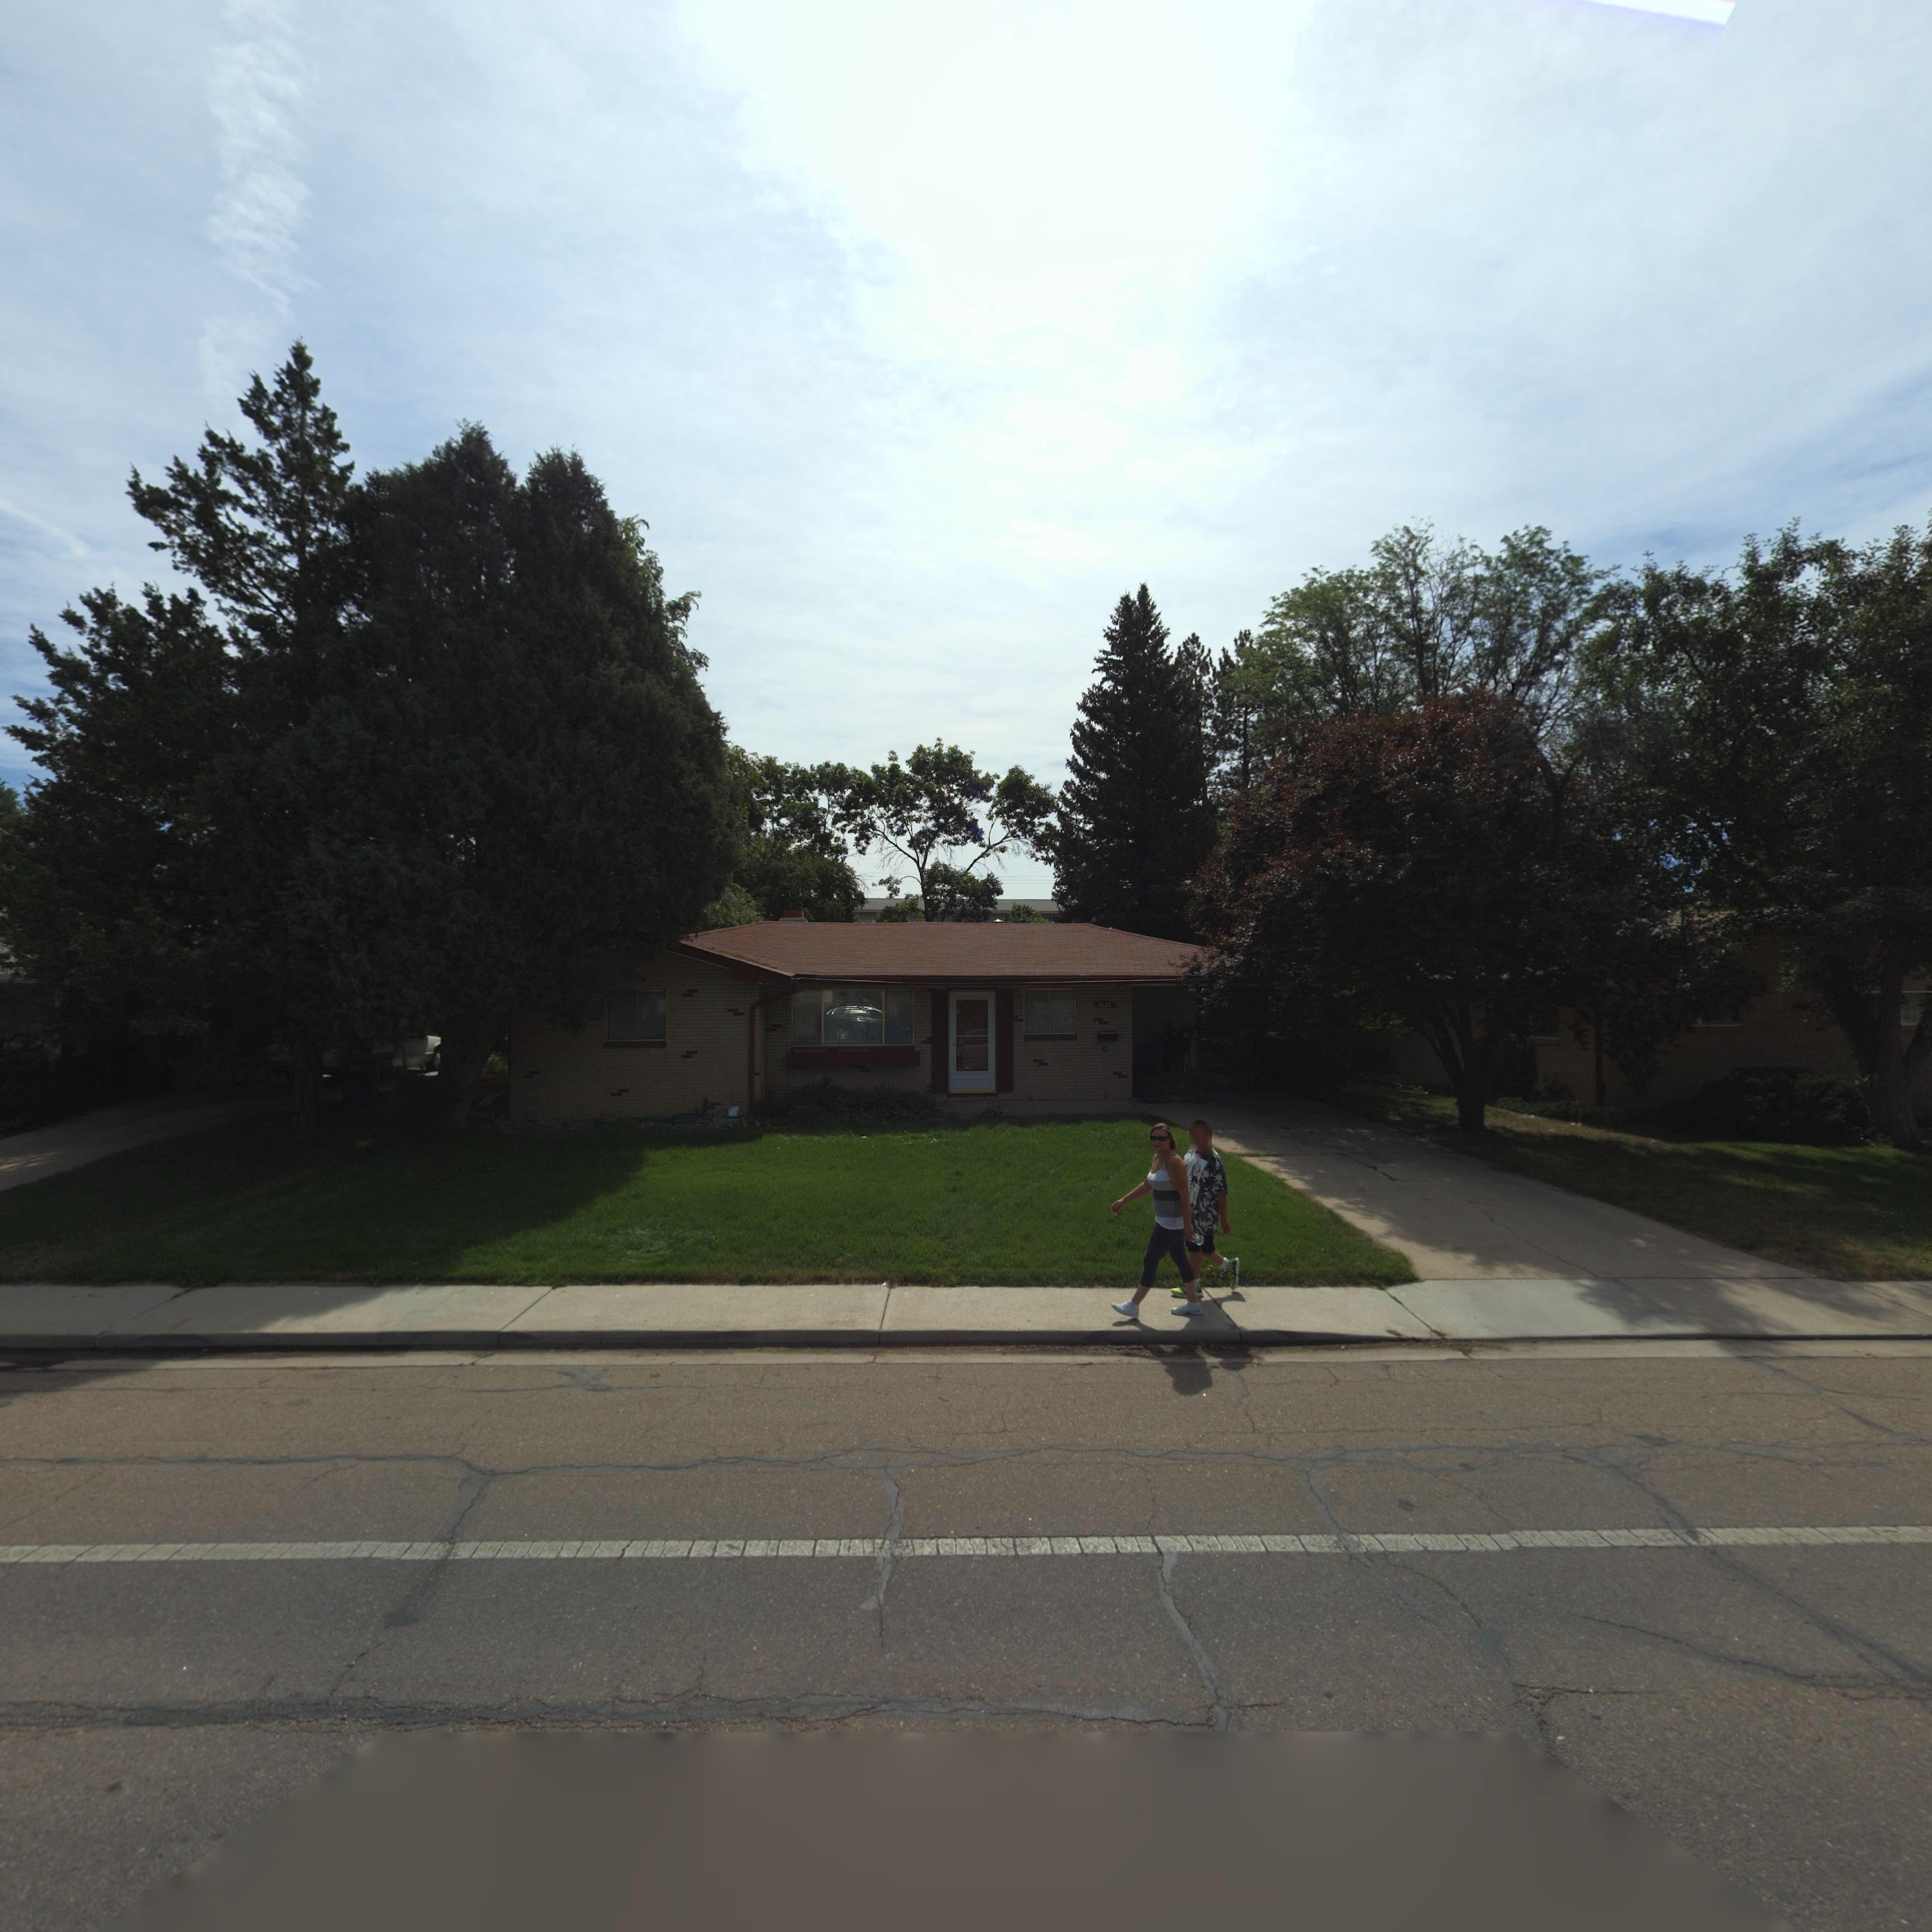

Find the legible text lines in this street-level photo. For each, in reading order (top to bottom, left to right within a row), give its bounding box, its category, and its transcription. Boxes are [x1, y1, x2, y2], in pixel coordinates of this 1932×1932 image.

[1098, 1002, 1111, 1007] StreetNumber: 1620